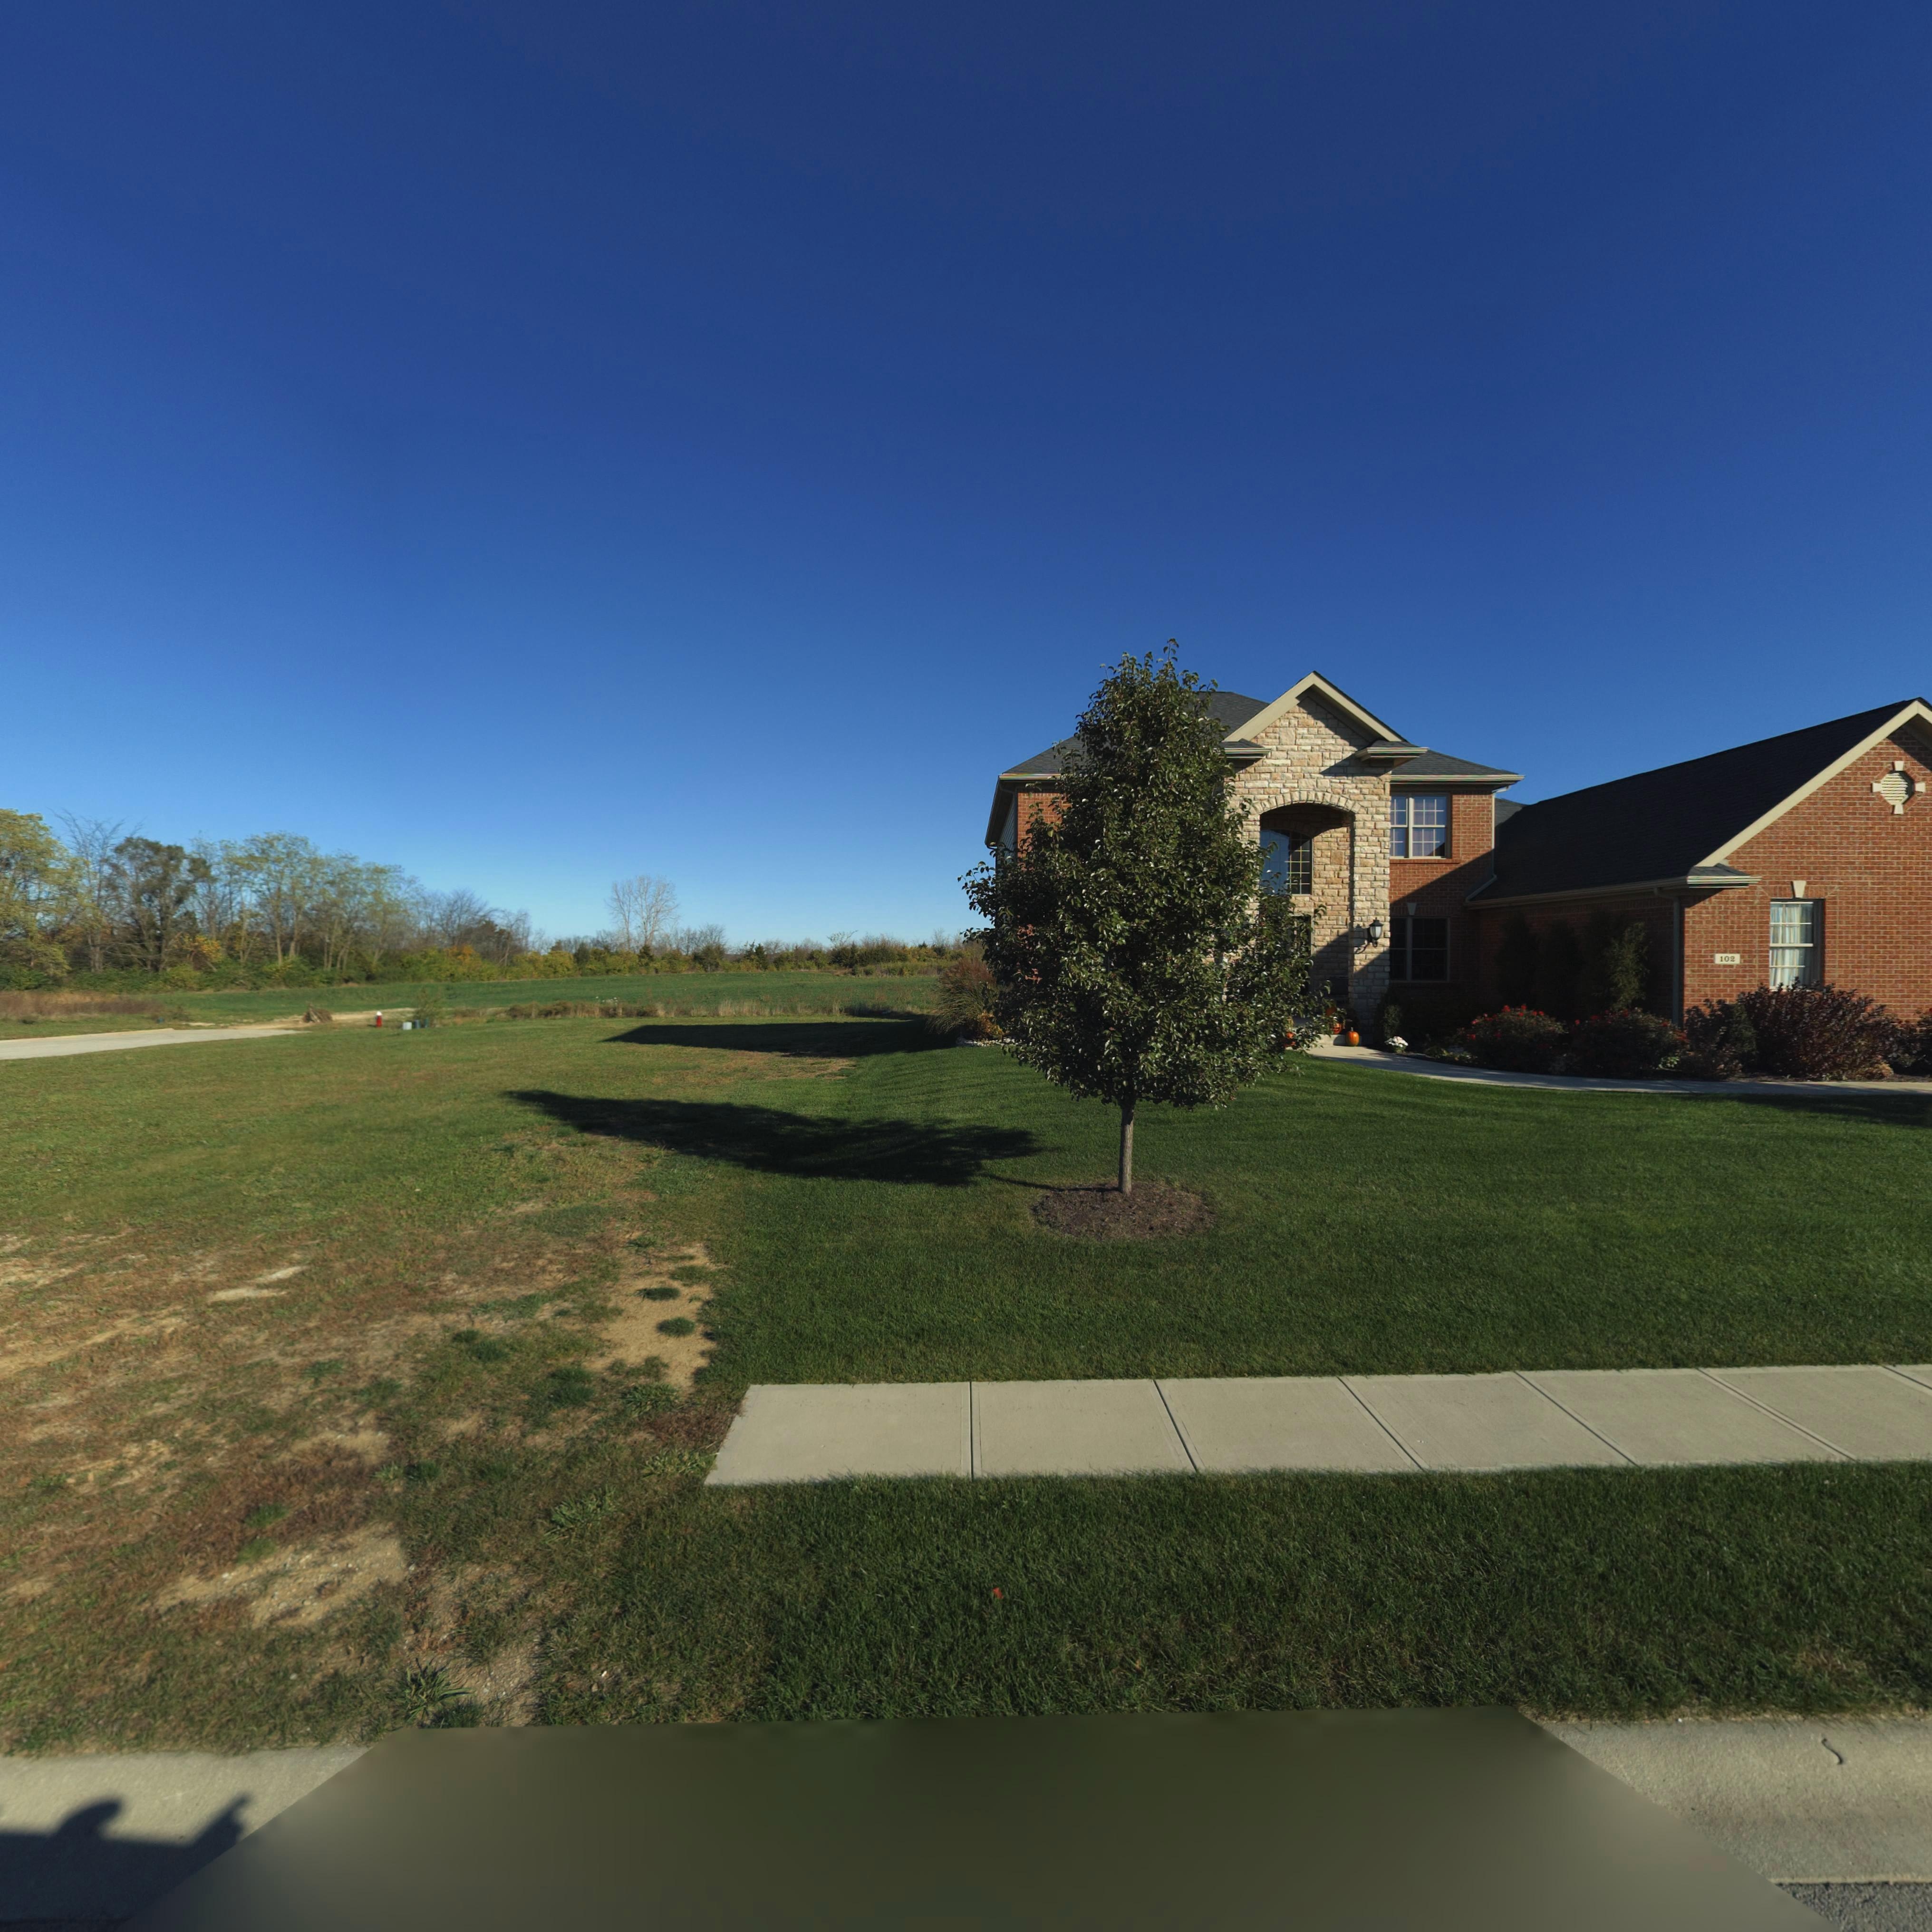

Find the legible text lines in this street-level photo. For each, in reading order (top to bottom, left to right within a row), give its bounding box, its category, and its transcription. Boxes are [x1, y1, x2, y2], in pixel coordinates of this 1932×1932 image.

[1719, 955, 1736, 963] StreetNumber: 102